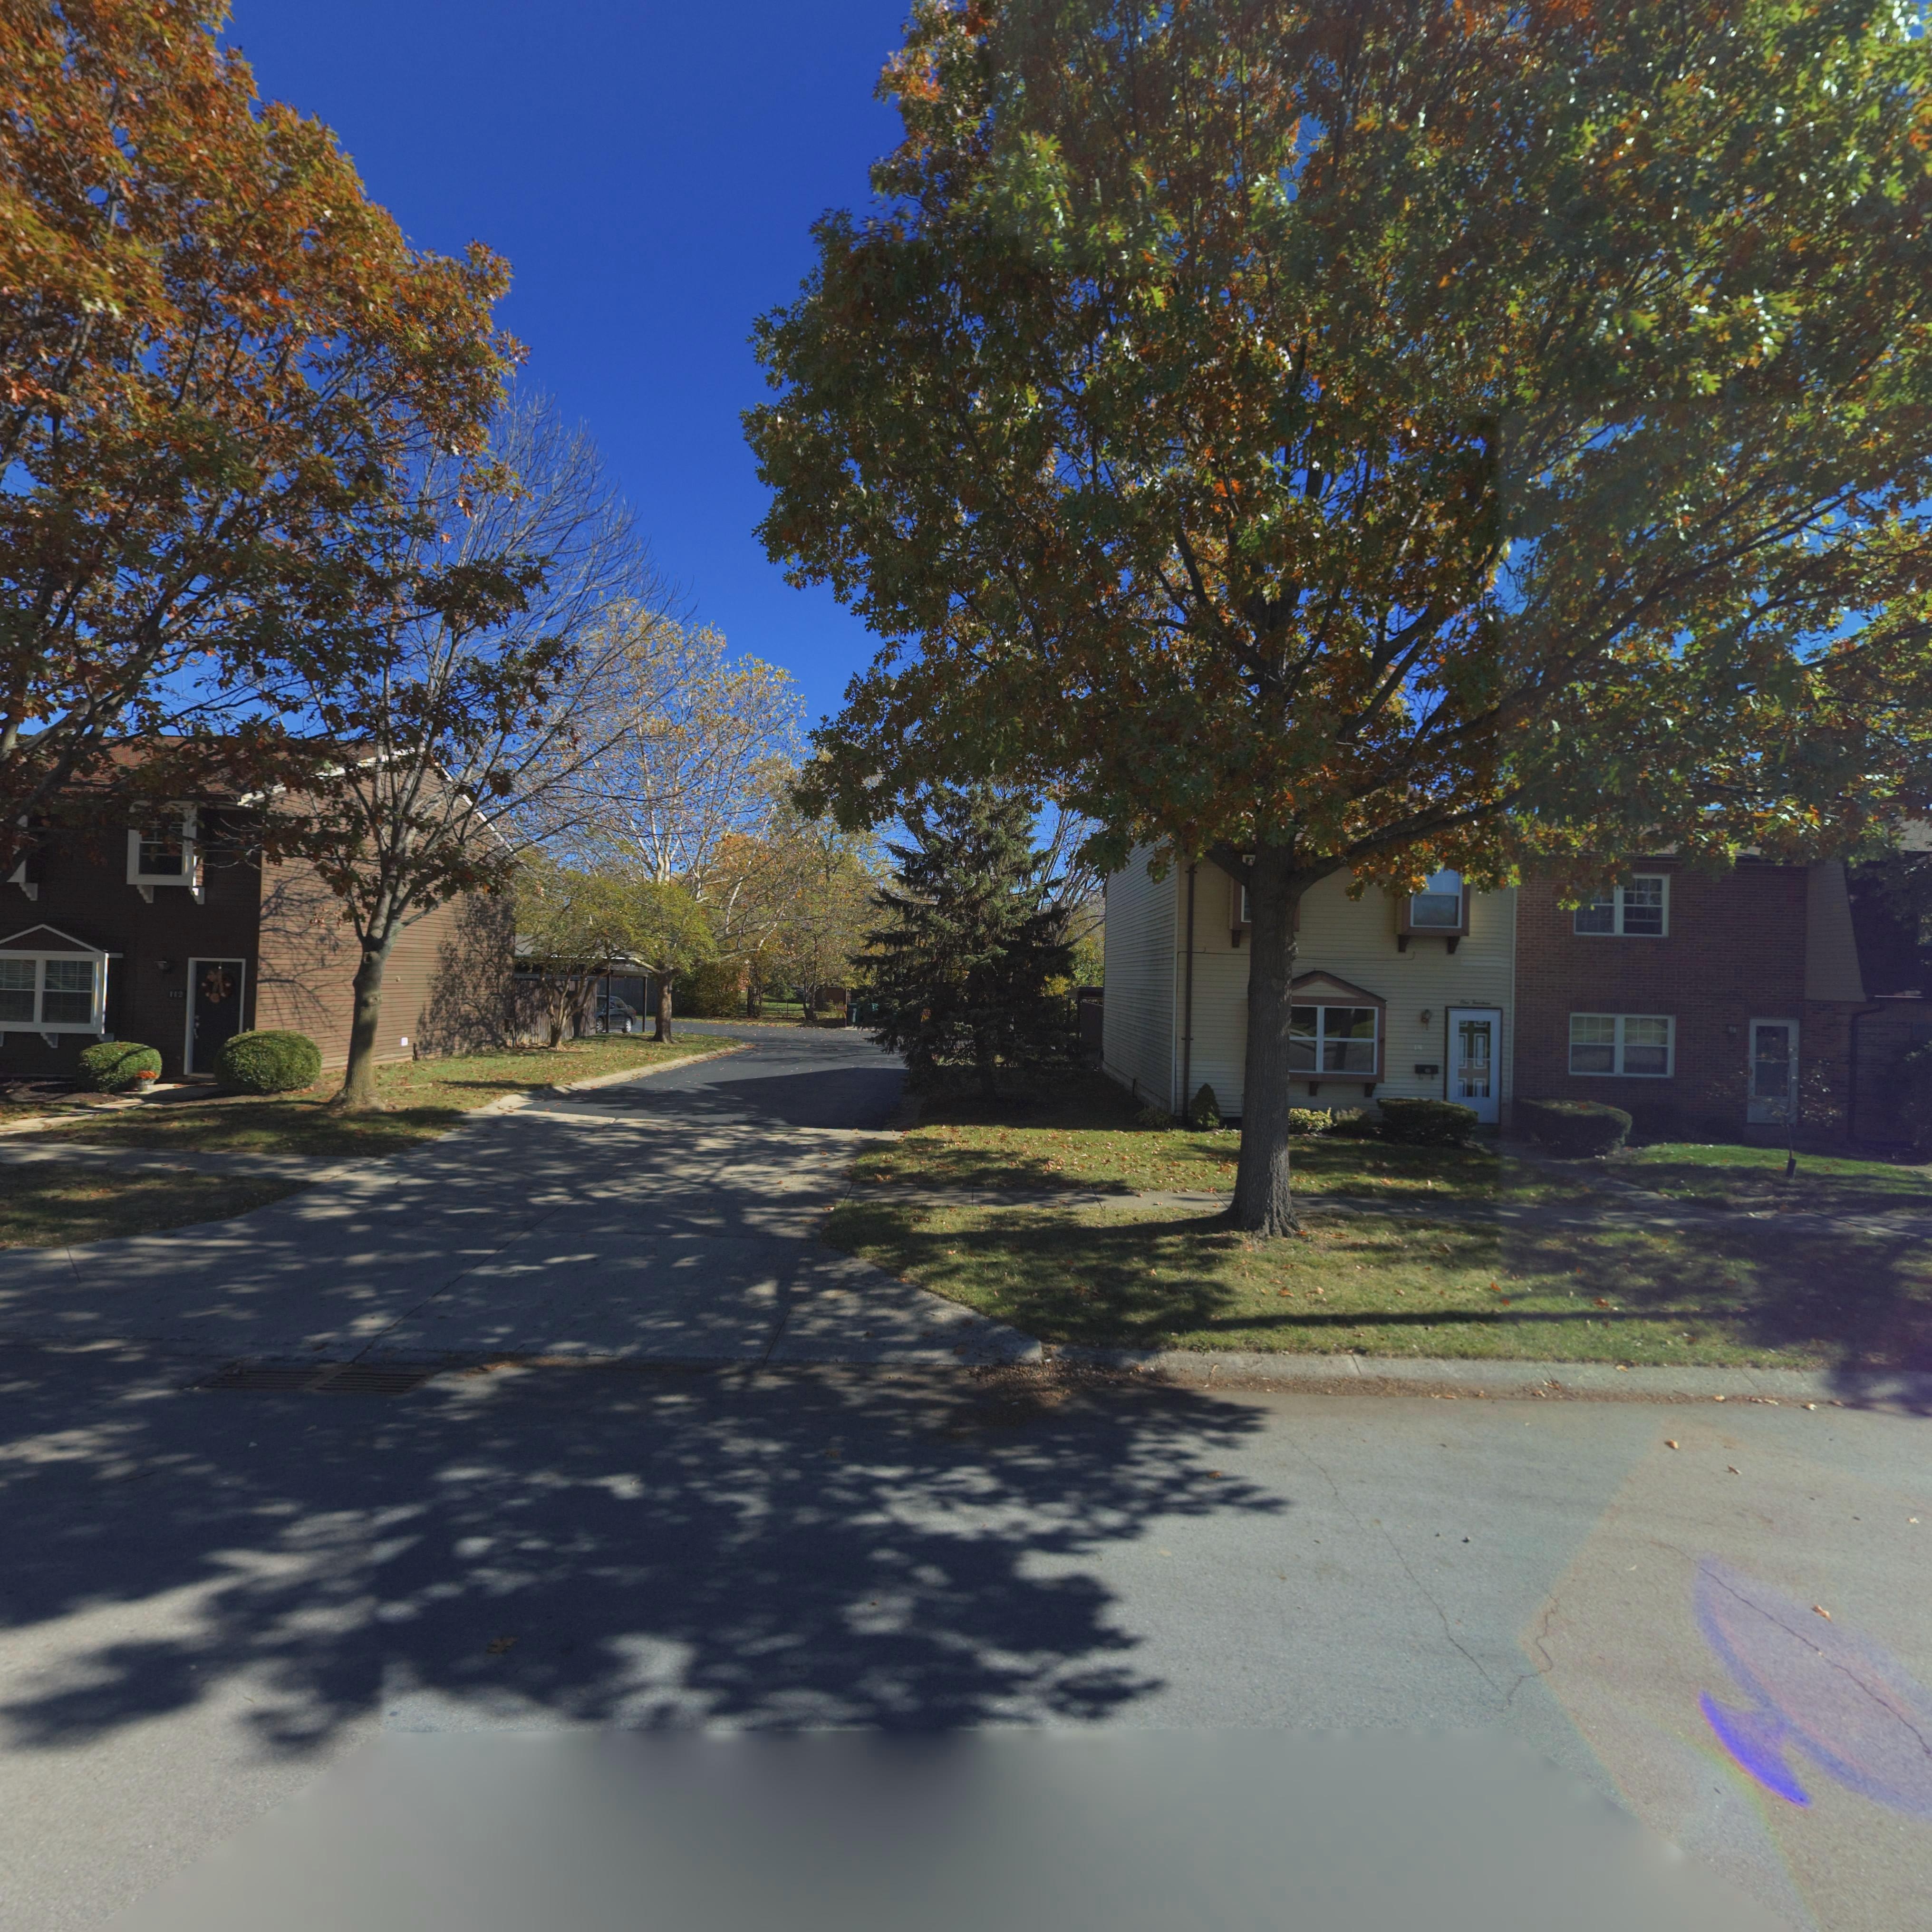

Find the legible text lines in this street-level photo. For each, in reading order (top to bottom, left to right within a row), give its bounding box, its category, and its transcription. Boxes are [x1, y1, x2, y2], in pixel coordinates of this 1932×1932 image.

[168, 989, 184, 999] StreetNumber: 112